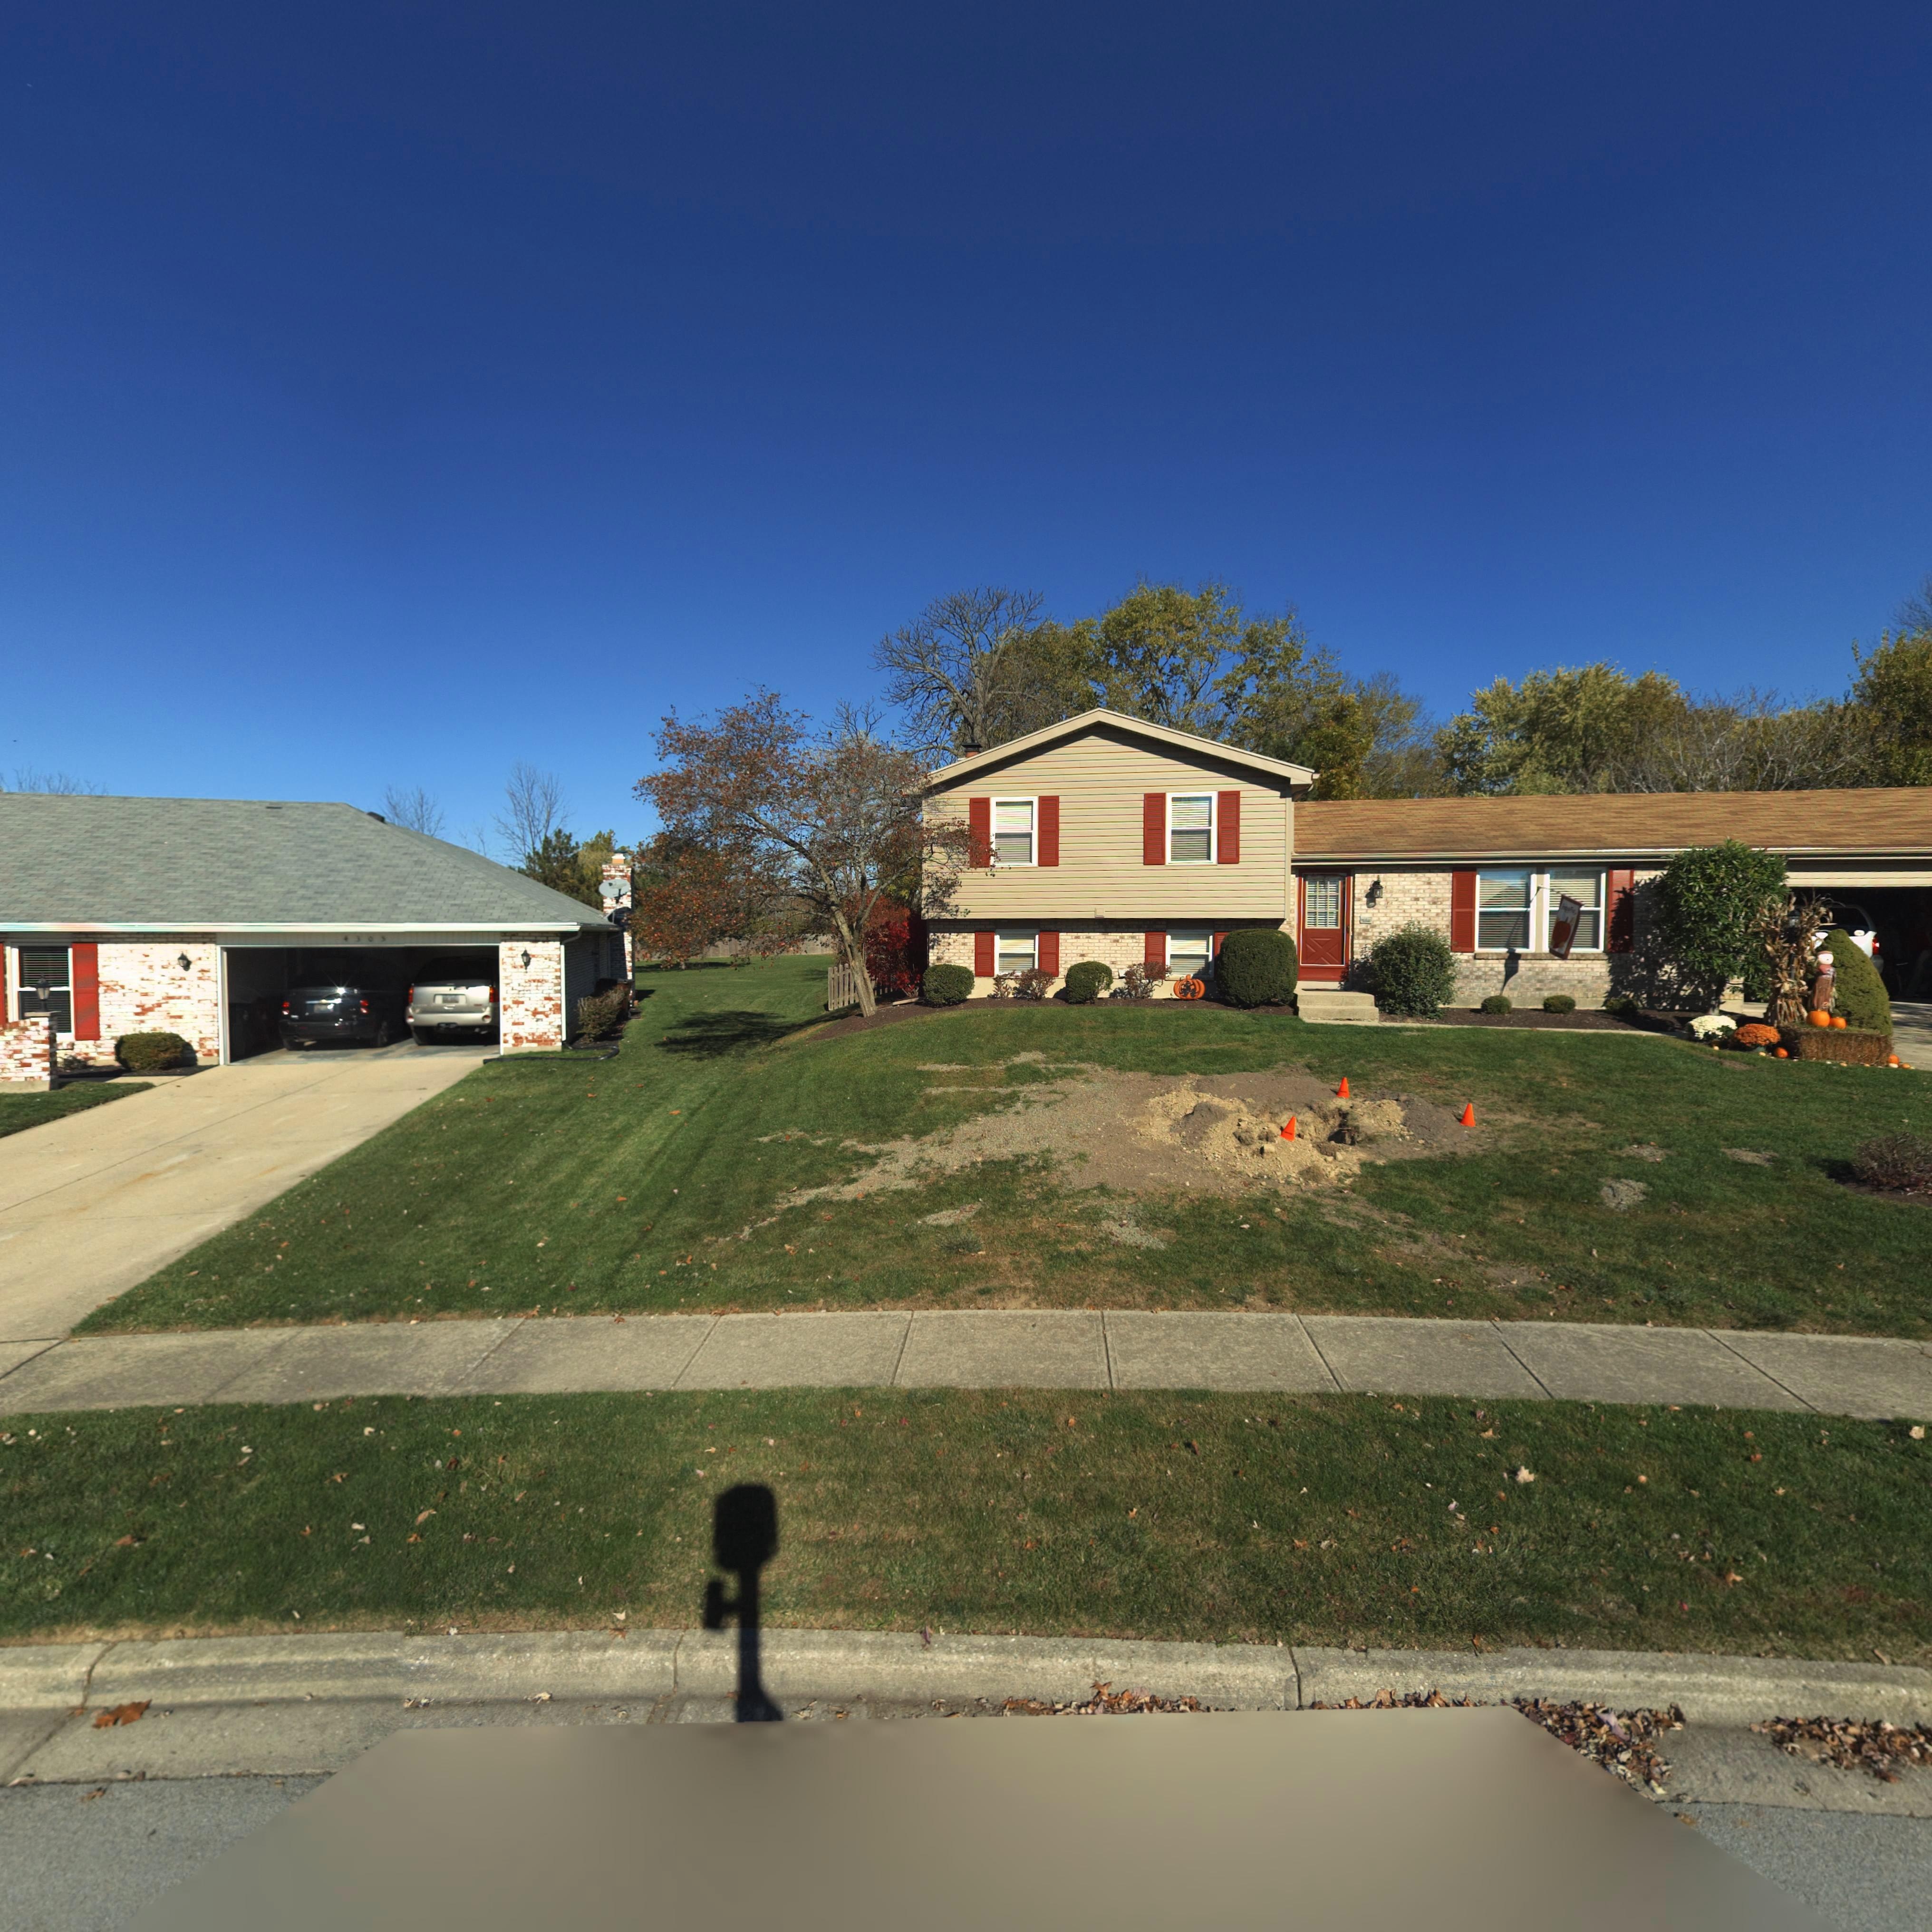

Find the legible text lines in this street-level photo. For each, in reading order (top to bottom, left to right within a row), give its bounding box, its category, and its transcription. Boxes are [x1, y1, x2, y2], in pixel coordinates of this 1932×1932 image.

[342, 935, 386, 942] StreetNumber: 4305